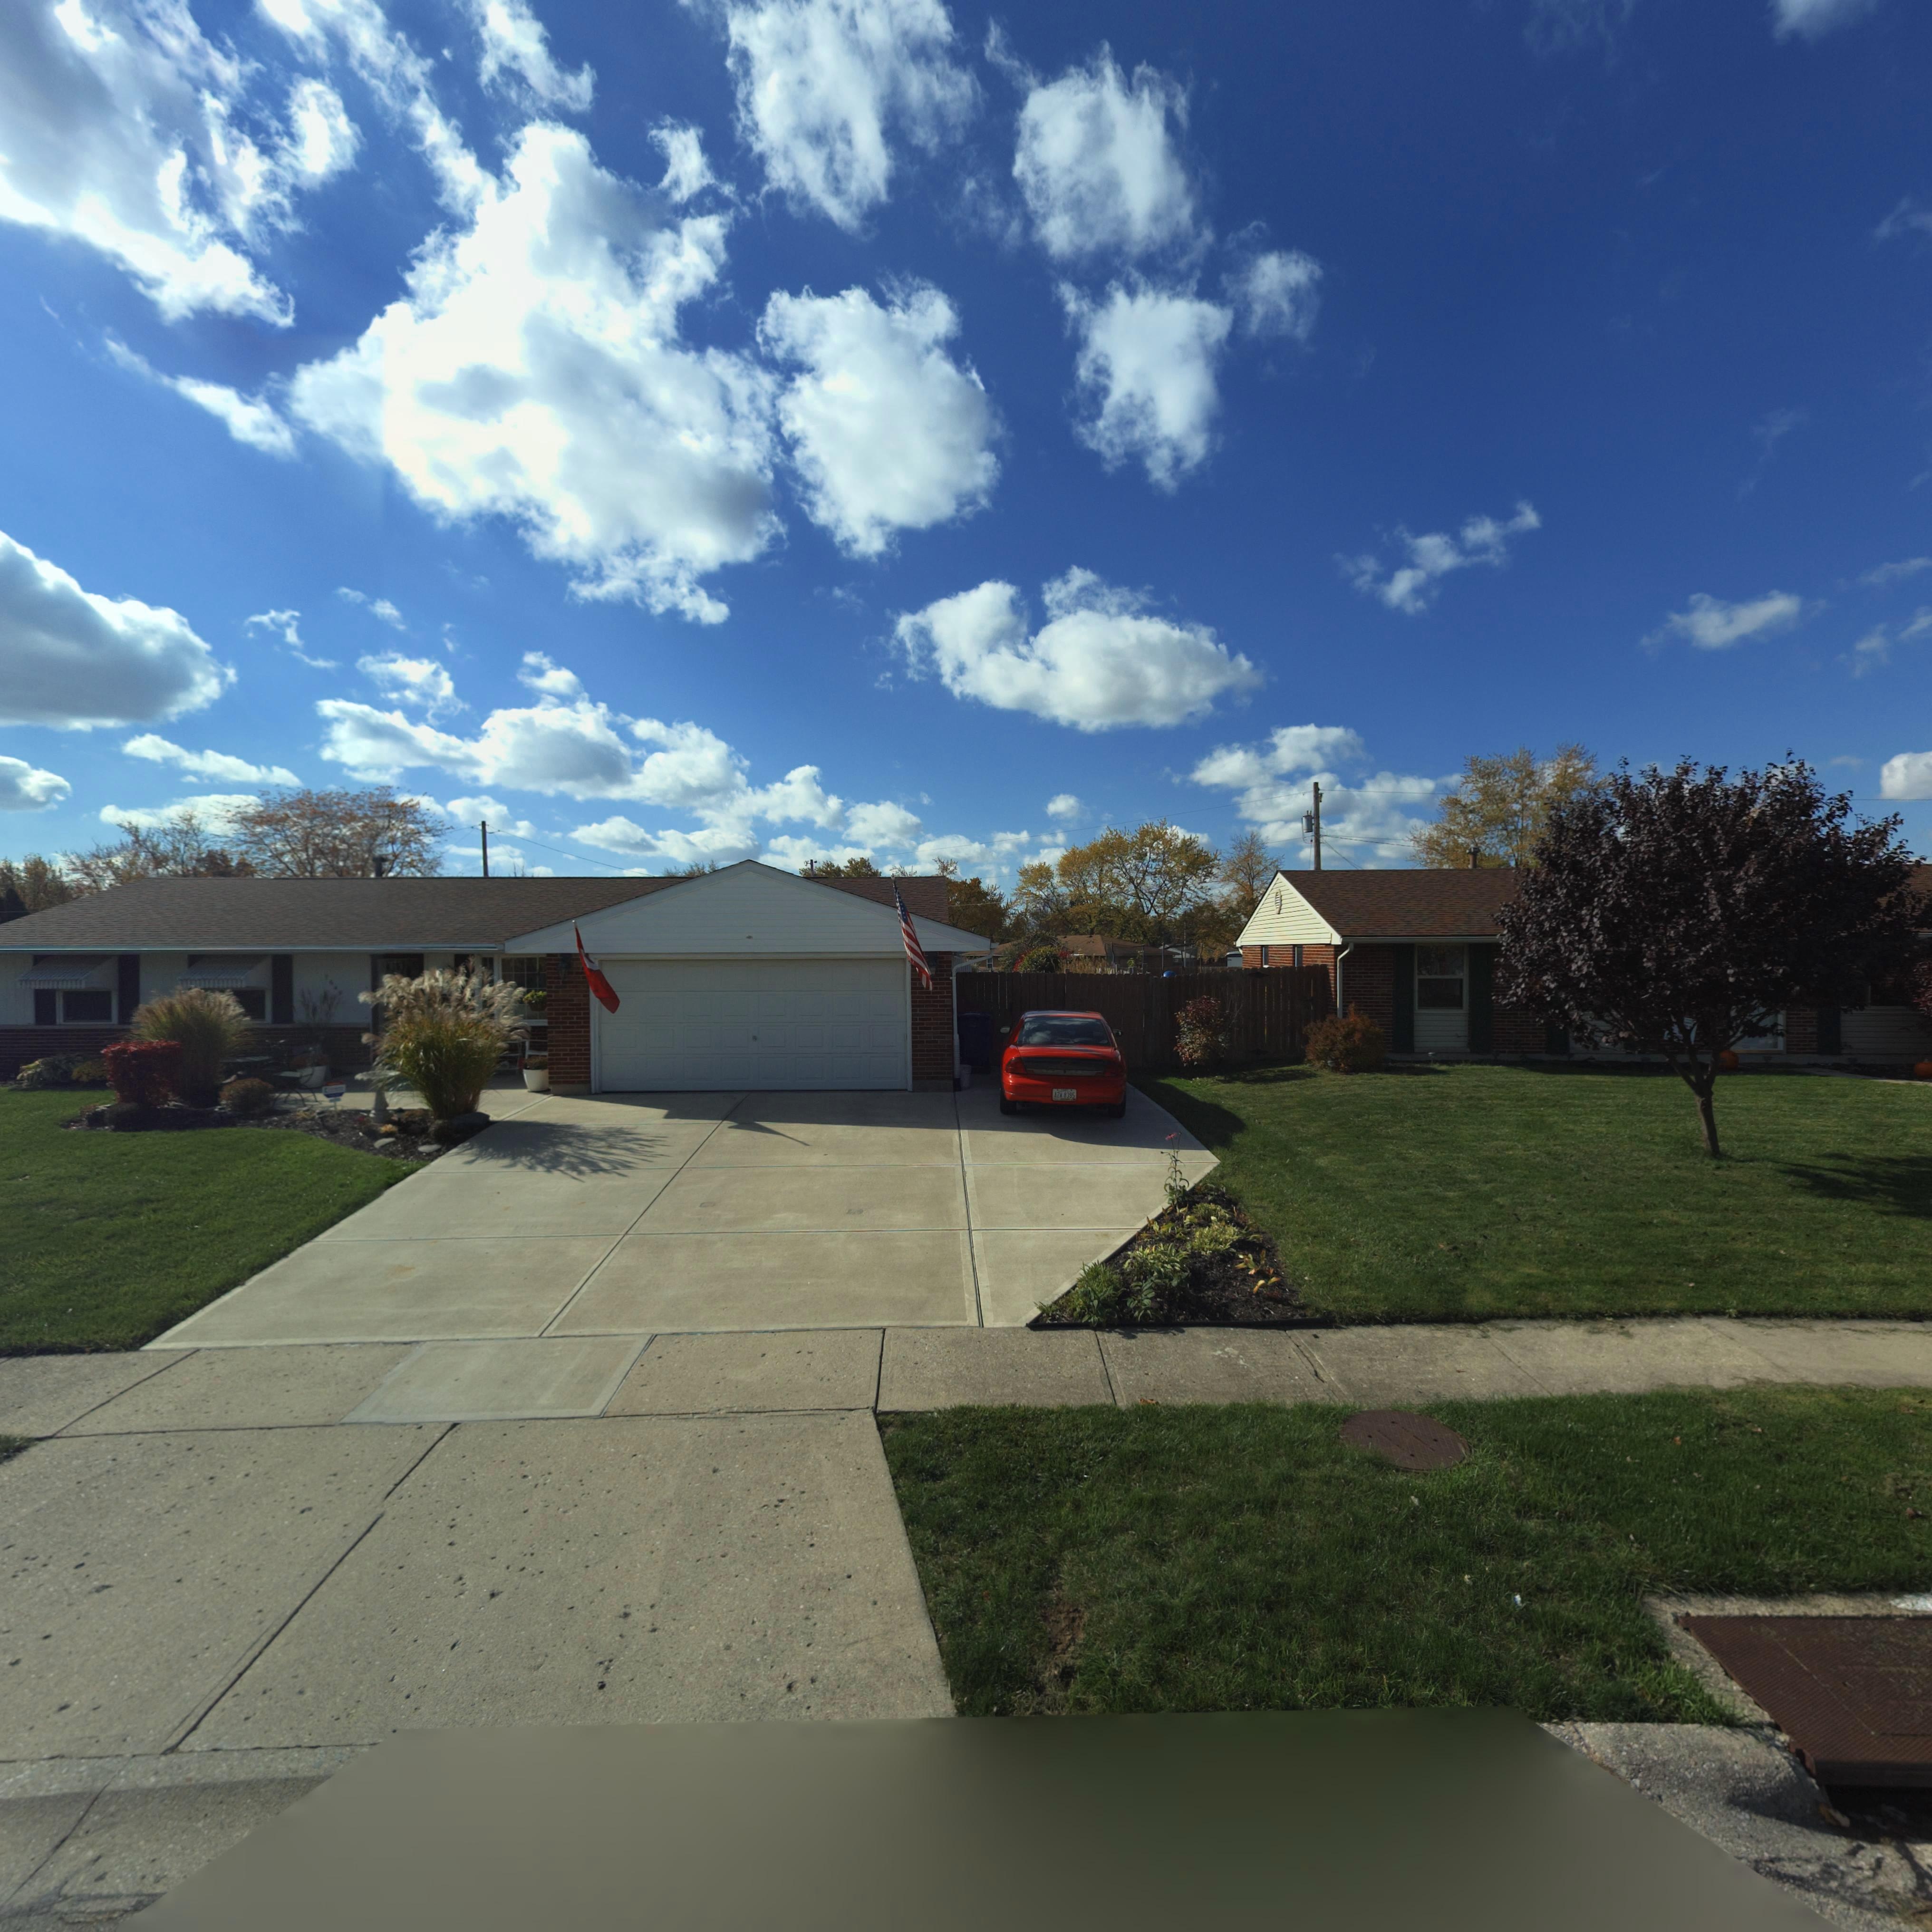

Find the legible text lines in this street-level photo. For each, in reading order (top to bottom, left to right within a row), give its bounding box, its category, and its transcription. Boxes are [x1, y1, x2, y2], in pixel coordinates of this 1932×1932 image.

[323, 973, 344, 996] StreetNumber: 76*9